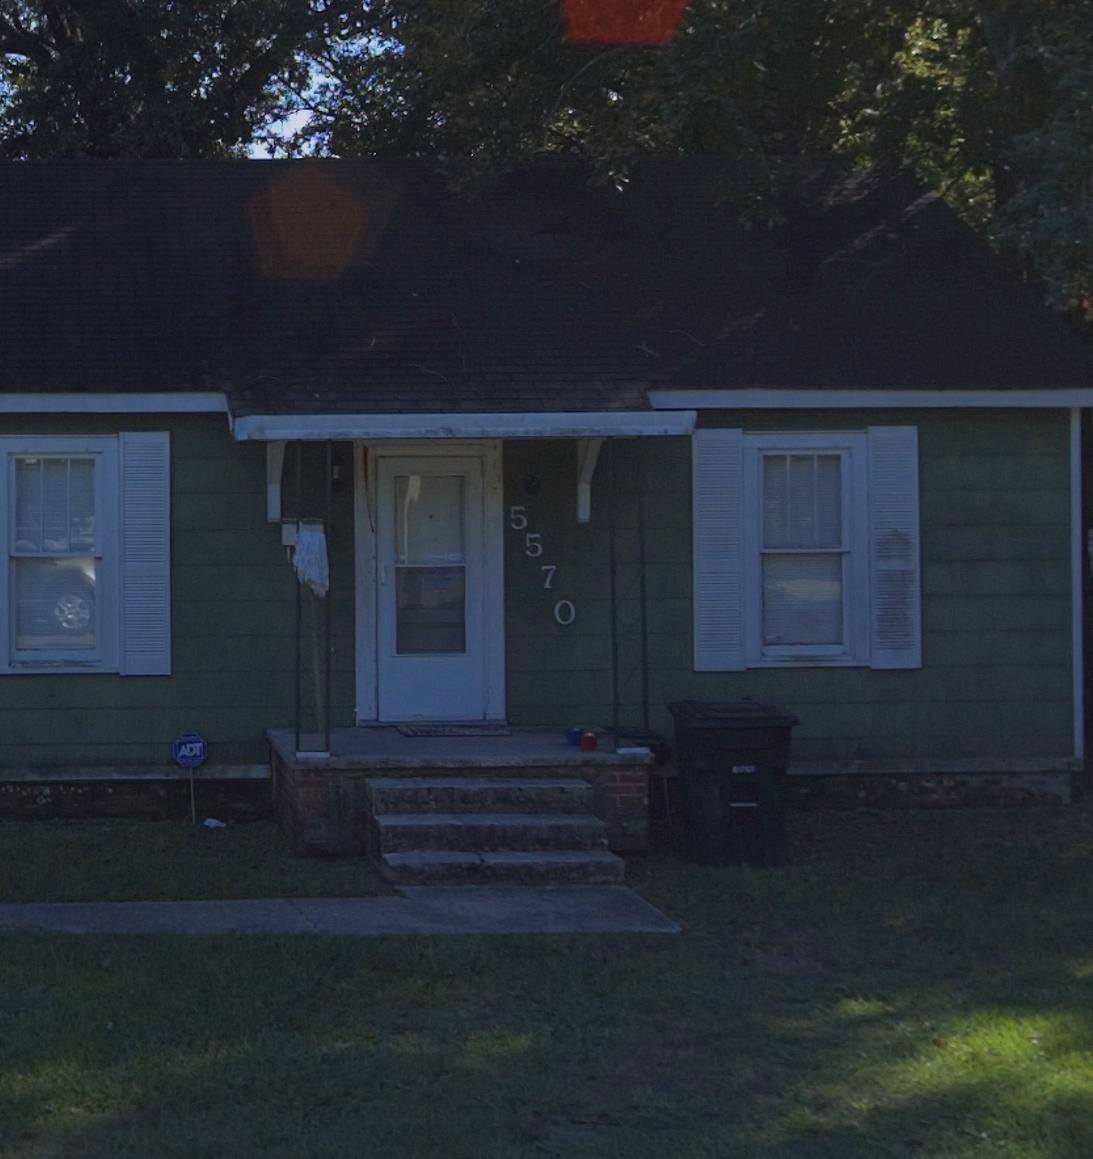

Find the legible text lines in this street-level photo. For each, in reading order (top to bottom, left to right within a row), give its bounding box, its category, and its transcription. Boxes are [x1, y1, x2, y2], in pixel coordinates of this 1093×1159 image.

[509, 503, 578, 627] StreetNumber: 5570
[177, 742, 203, 757] None: ADT